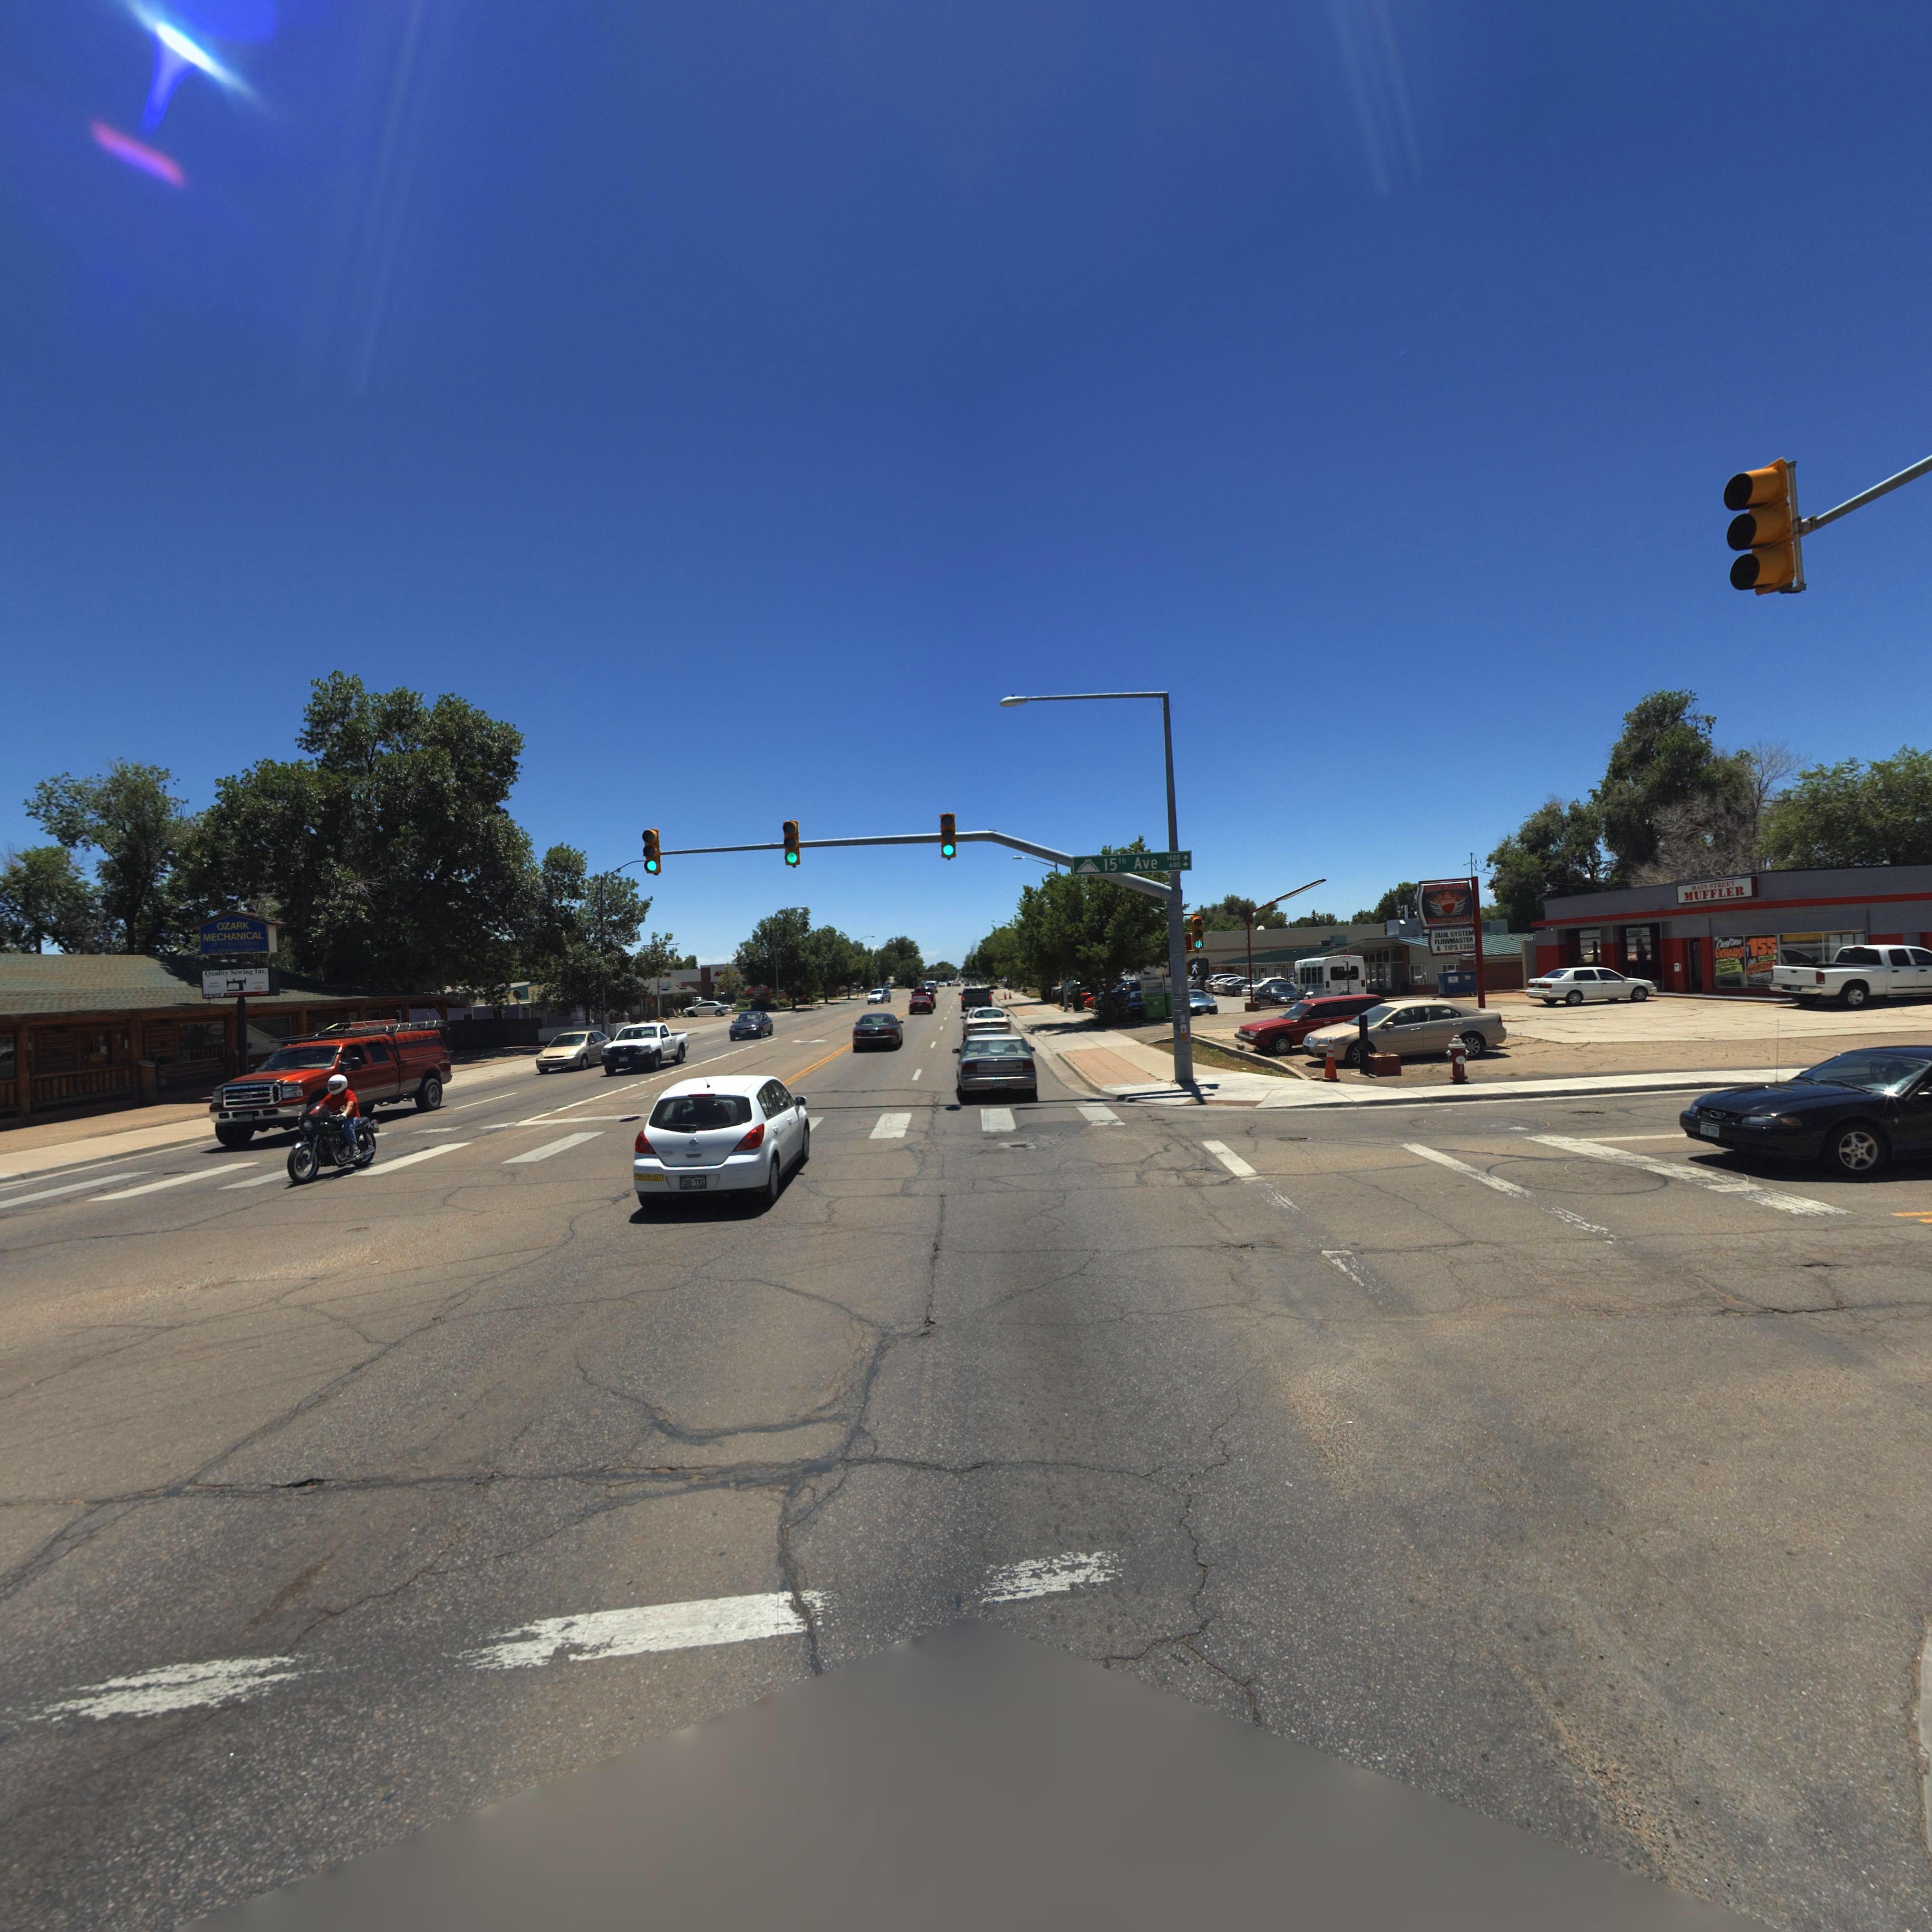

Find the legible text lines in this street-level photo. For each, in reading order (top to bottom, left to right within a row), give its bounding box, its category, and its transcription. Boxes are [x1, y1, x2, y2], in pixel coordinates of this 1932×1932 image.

[1166, 854, 1181, 861] StreetNumberRange: 1400
[1103, 856, 1158, 871] StreetName: 15th Ave
[1168, 861, 1188, 868] StreetNumberRange: 600->
[1424, 882, 1468, 893] BusinessName: MAIN STREET
[1690, 880, 1735, 891] BusinessName: MAIN STREET
[1683, 885, 1744, 901] BusinessName: MUFFLER
[1427, 914, 1470, 924] BusinessName: MUFFLERS
[216, 921, 249, 930] BusinessName: OZARK
[203, 931, 264, 941] BusinessName: MECHANICAL
[203, 968, 267, 976] BusinessName: Quality Sewing Inc.